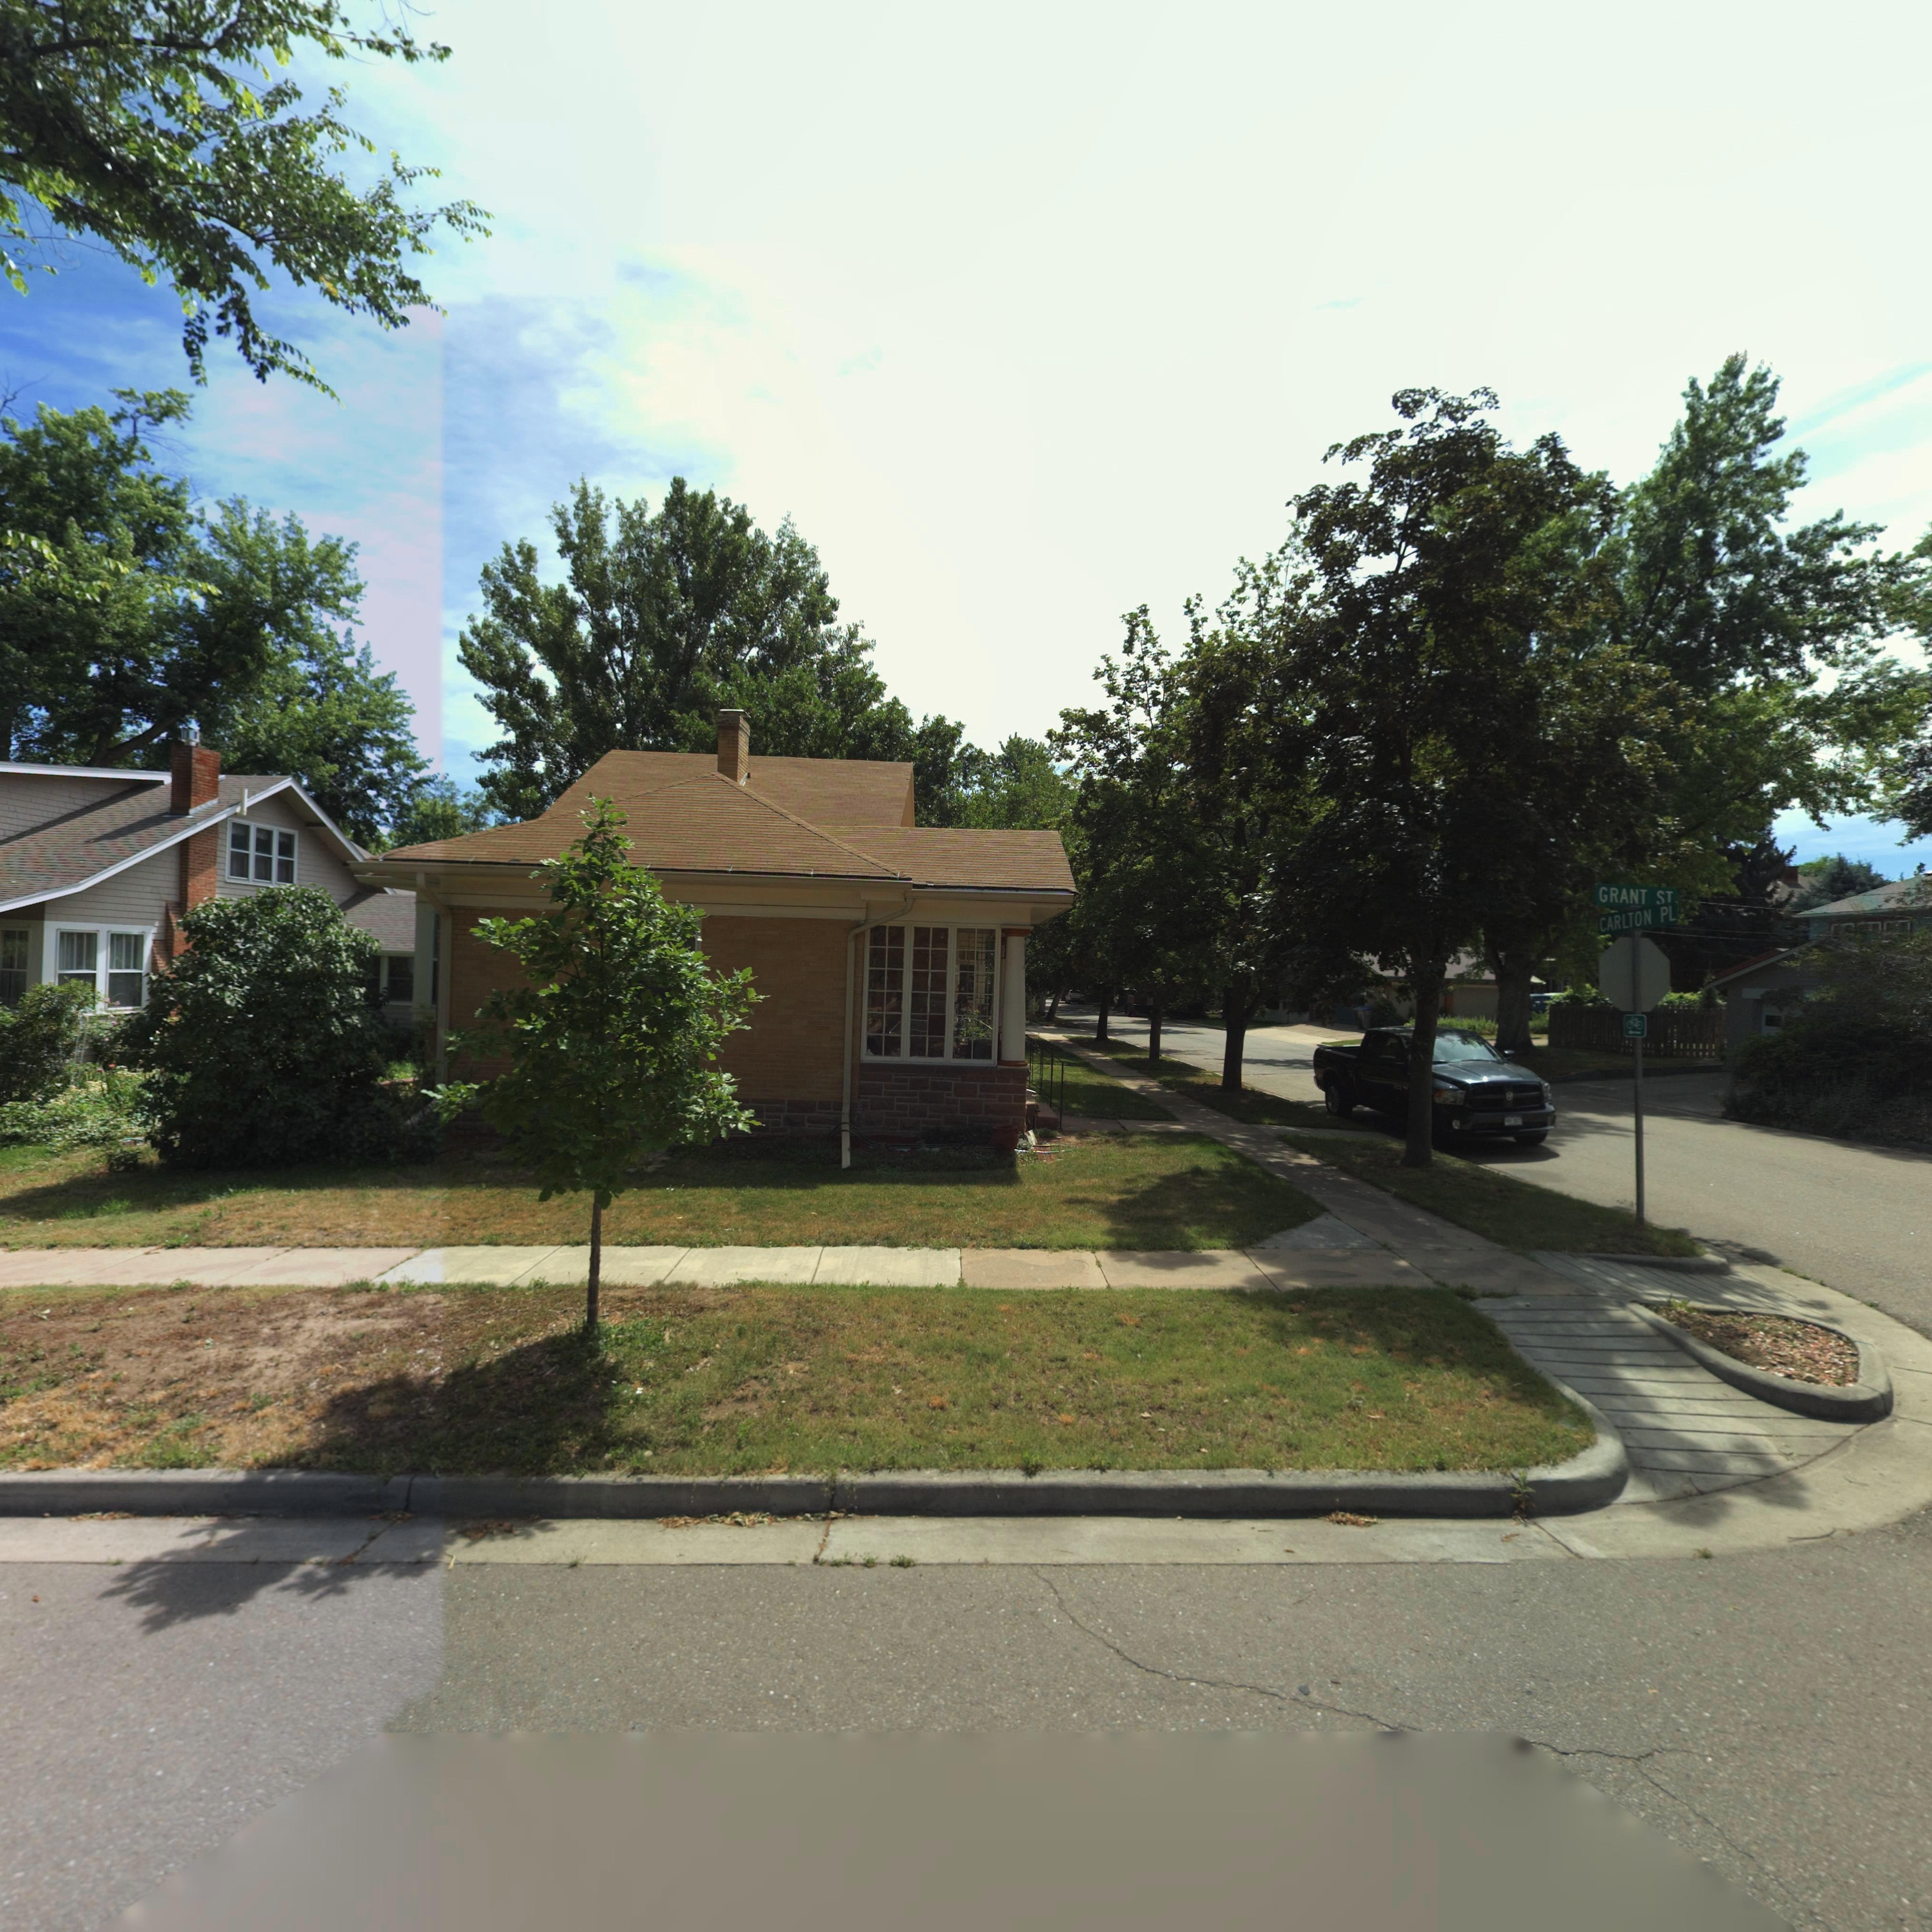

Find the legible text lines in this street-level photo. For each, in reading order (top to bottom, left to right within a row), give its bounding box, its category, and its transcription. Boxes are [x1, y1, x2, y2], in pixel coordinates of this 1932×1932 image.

[1599, 887, 1673, 905] StreetName: GRANT **
[1599, 905, 1677, 932] StreetName: CARLSTON PL